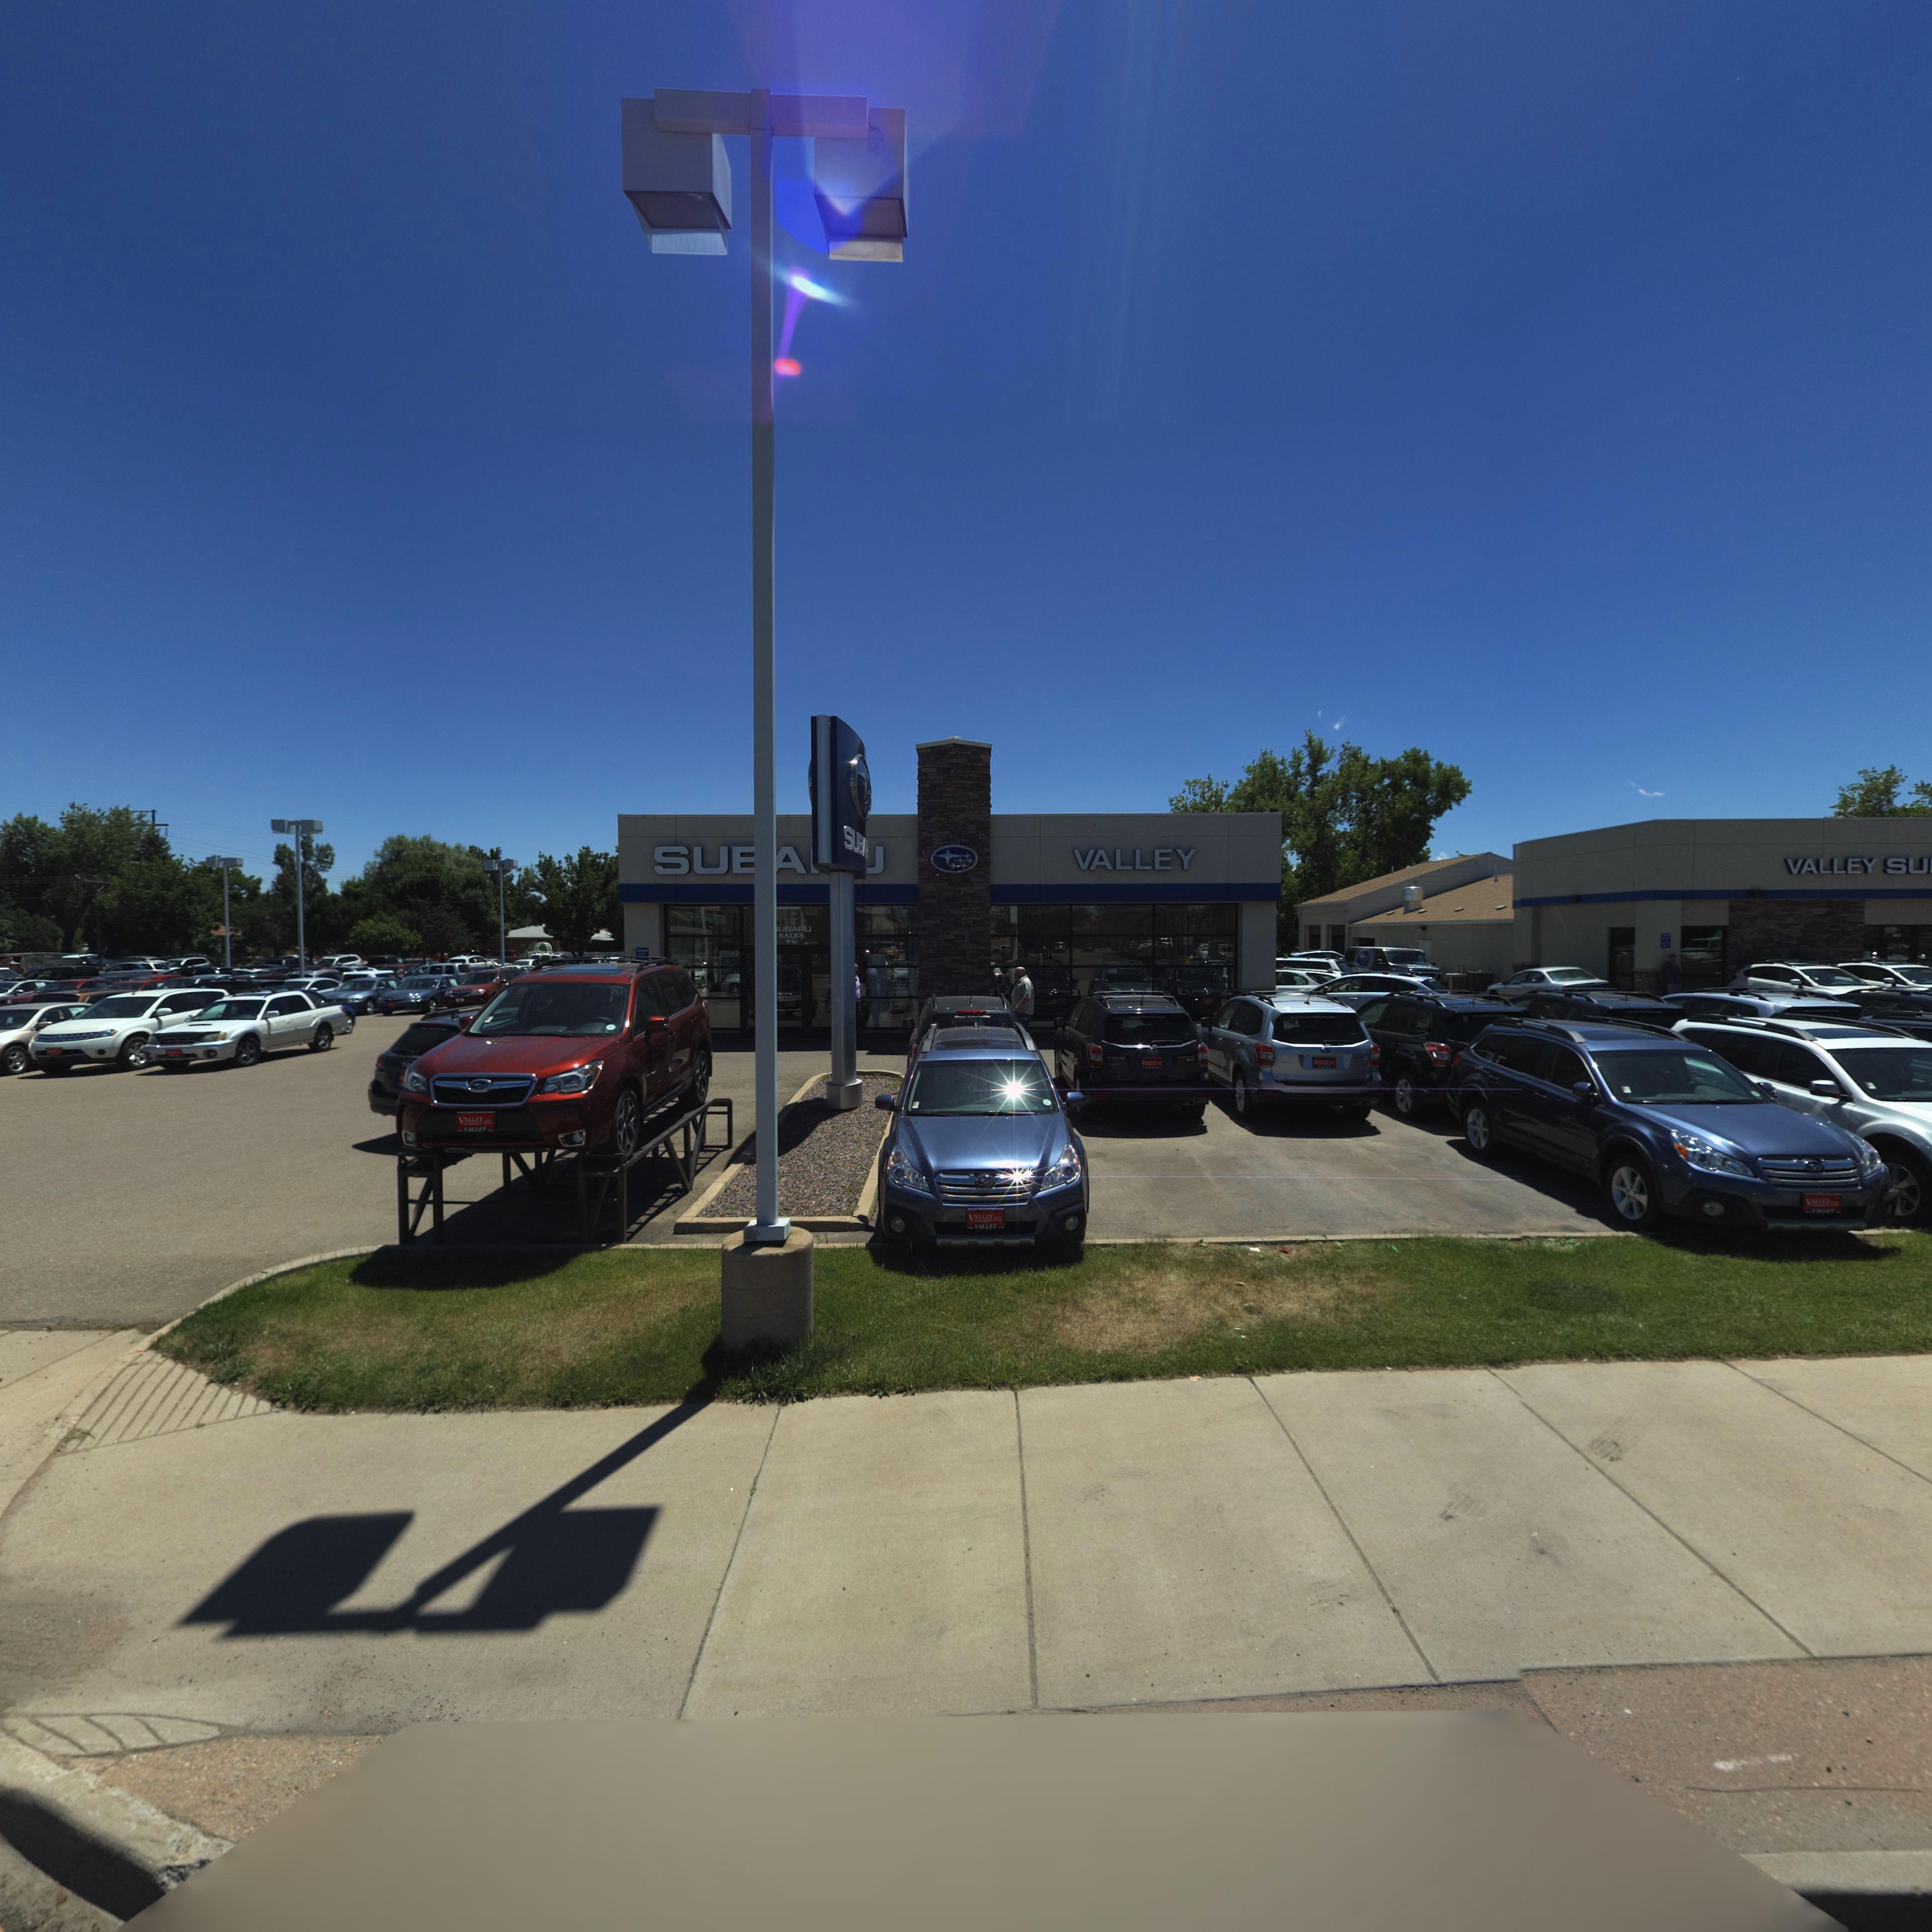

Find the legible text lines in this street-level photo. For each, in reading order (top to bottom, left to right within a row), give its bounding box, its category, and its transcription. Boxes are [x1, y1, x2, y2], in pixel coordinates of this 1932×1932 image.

[843, 824, 867, 860] BusinessName: SUB*
[653, 844, 885, 875] BusinessName: SU*A**
[1072, 848, 1198, 870] BusinessName: VALLEY
[778, 926, 812, 932] BusinessName: UBARU
[786, 939, 797, 944] StreetNumber: 101*